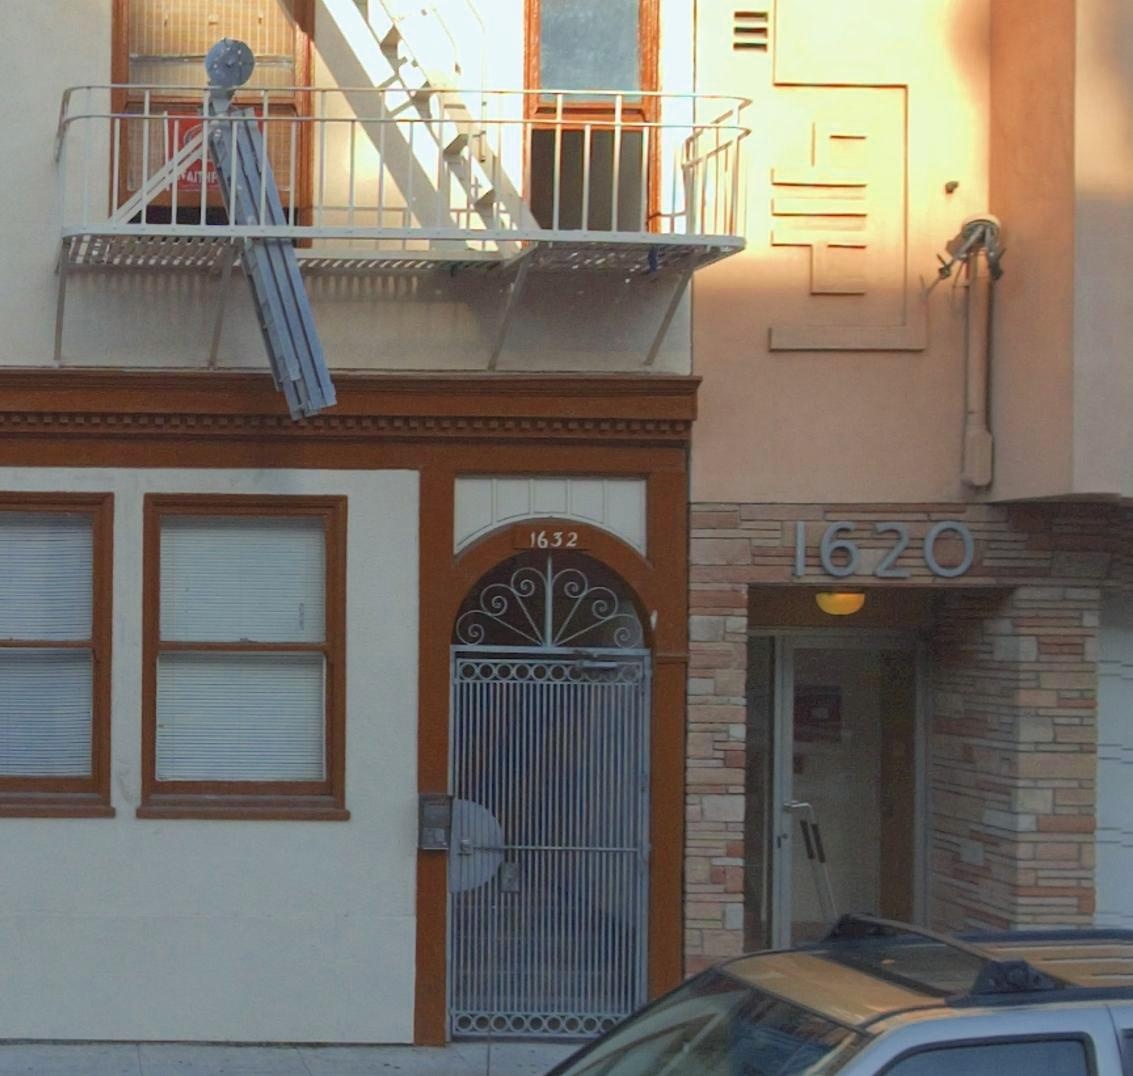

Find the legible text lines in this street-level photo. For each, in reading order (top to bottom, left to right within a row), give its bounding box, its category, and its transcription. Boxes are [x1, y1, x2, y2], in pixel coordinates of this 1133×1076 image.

[528, 527, 579, 550] StreetNumber: 1632
[792, 518, 978, 582] StreetNumber: 1620